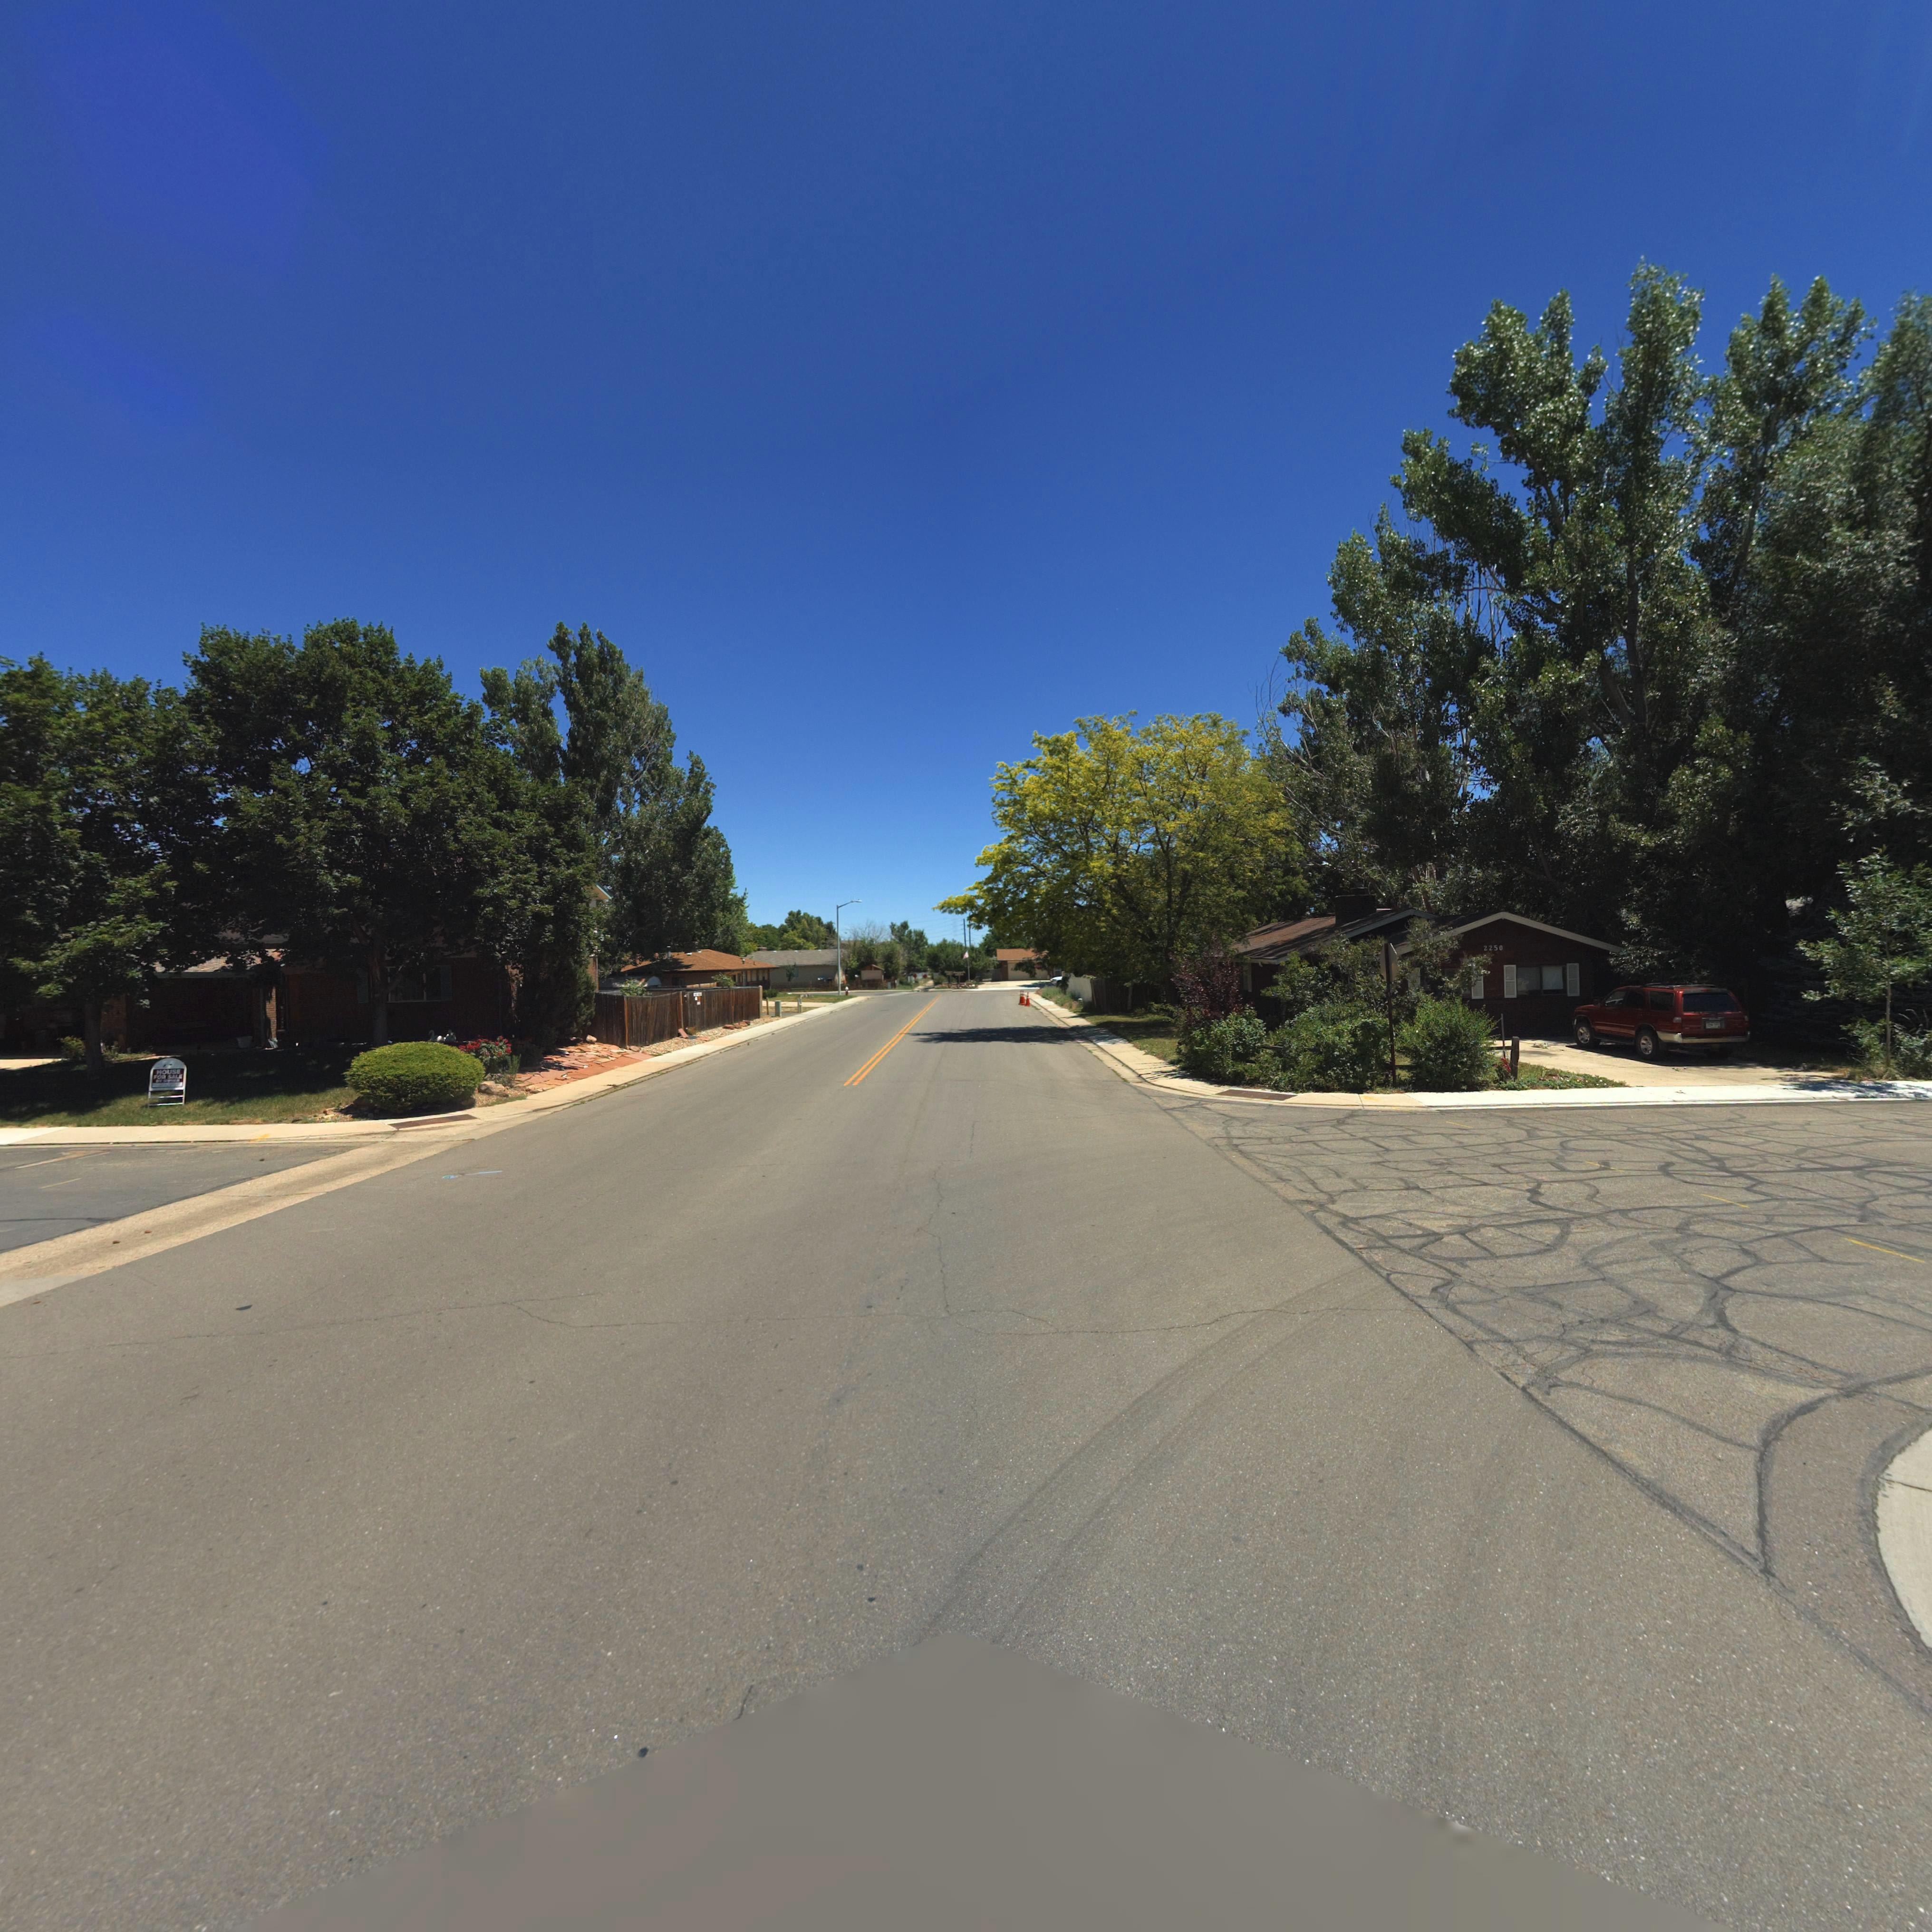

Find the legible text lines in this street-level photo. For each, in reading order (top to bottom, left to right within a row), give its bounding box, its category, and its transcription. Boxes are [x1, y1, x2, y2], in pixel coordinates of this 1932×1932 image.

[1483, 944, 1503, 951] StreetNumber: 2250